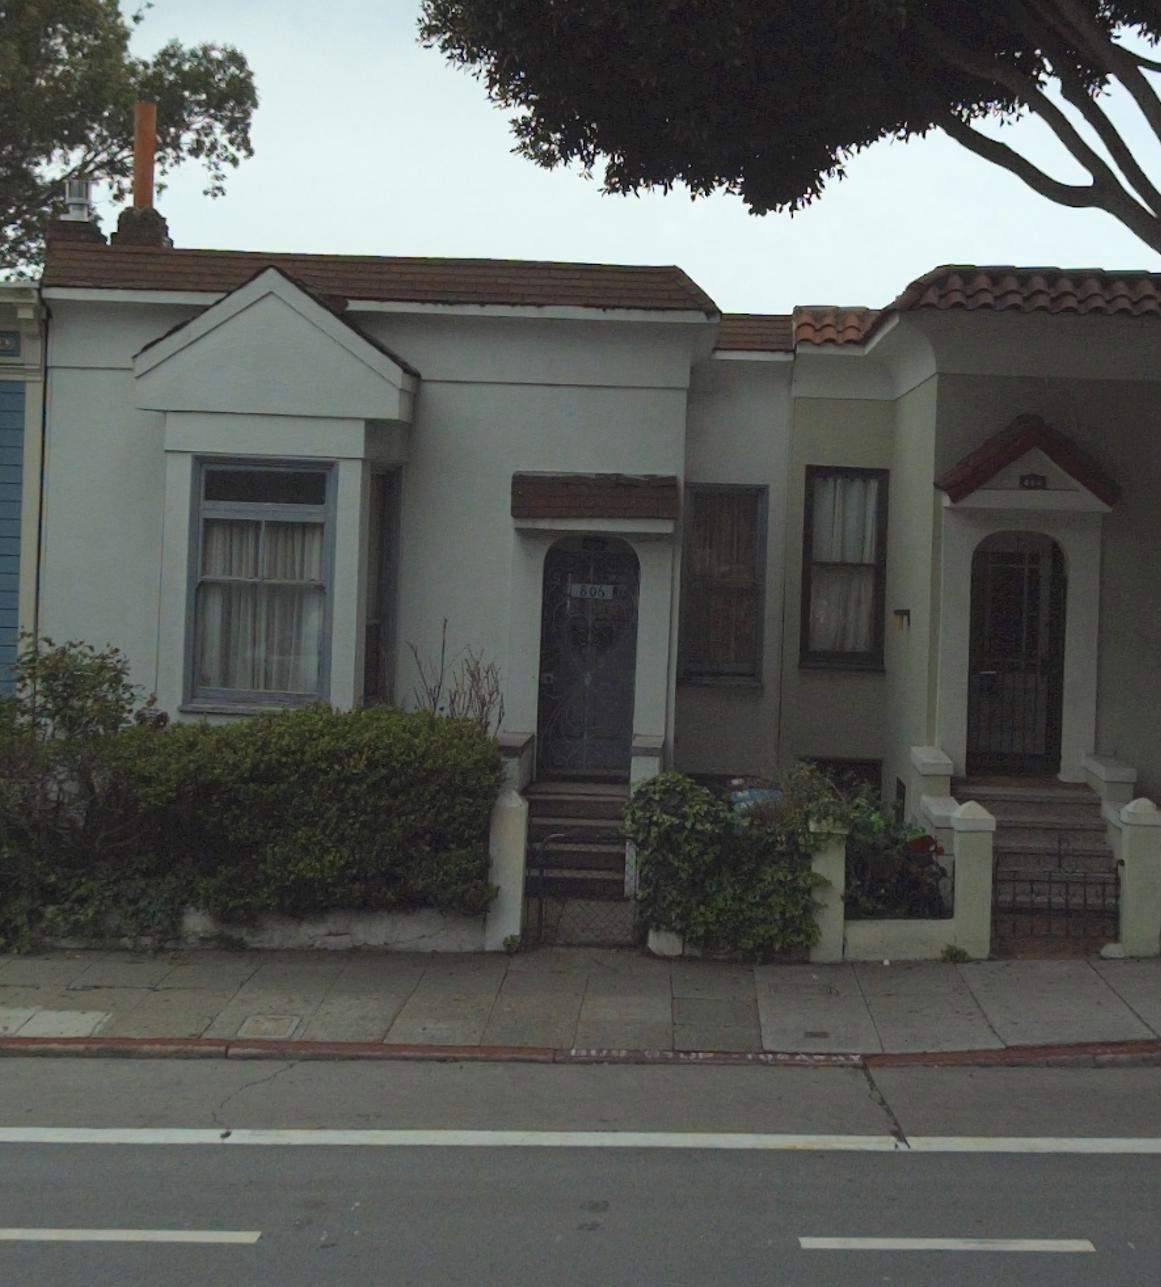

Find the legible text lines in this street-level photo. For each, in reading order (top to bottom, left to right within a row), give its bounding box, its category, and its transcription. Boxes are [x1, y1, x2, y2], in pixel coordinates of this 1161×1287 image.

[579, 584, 605, 598] StreetNumber: 806